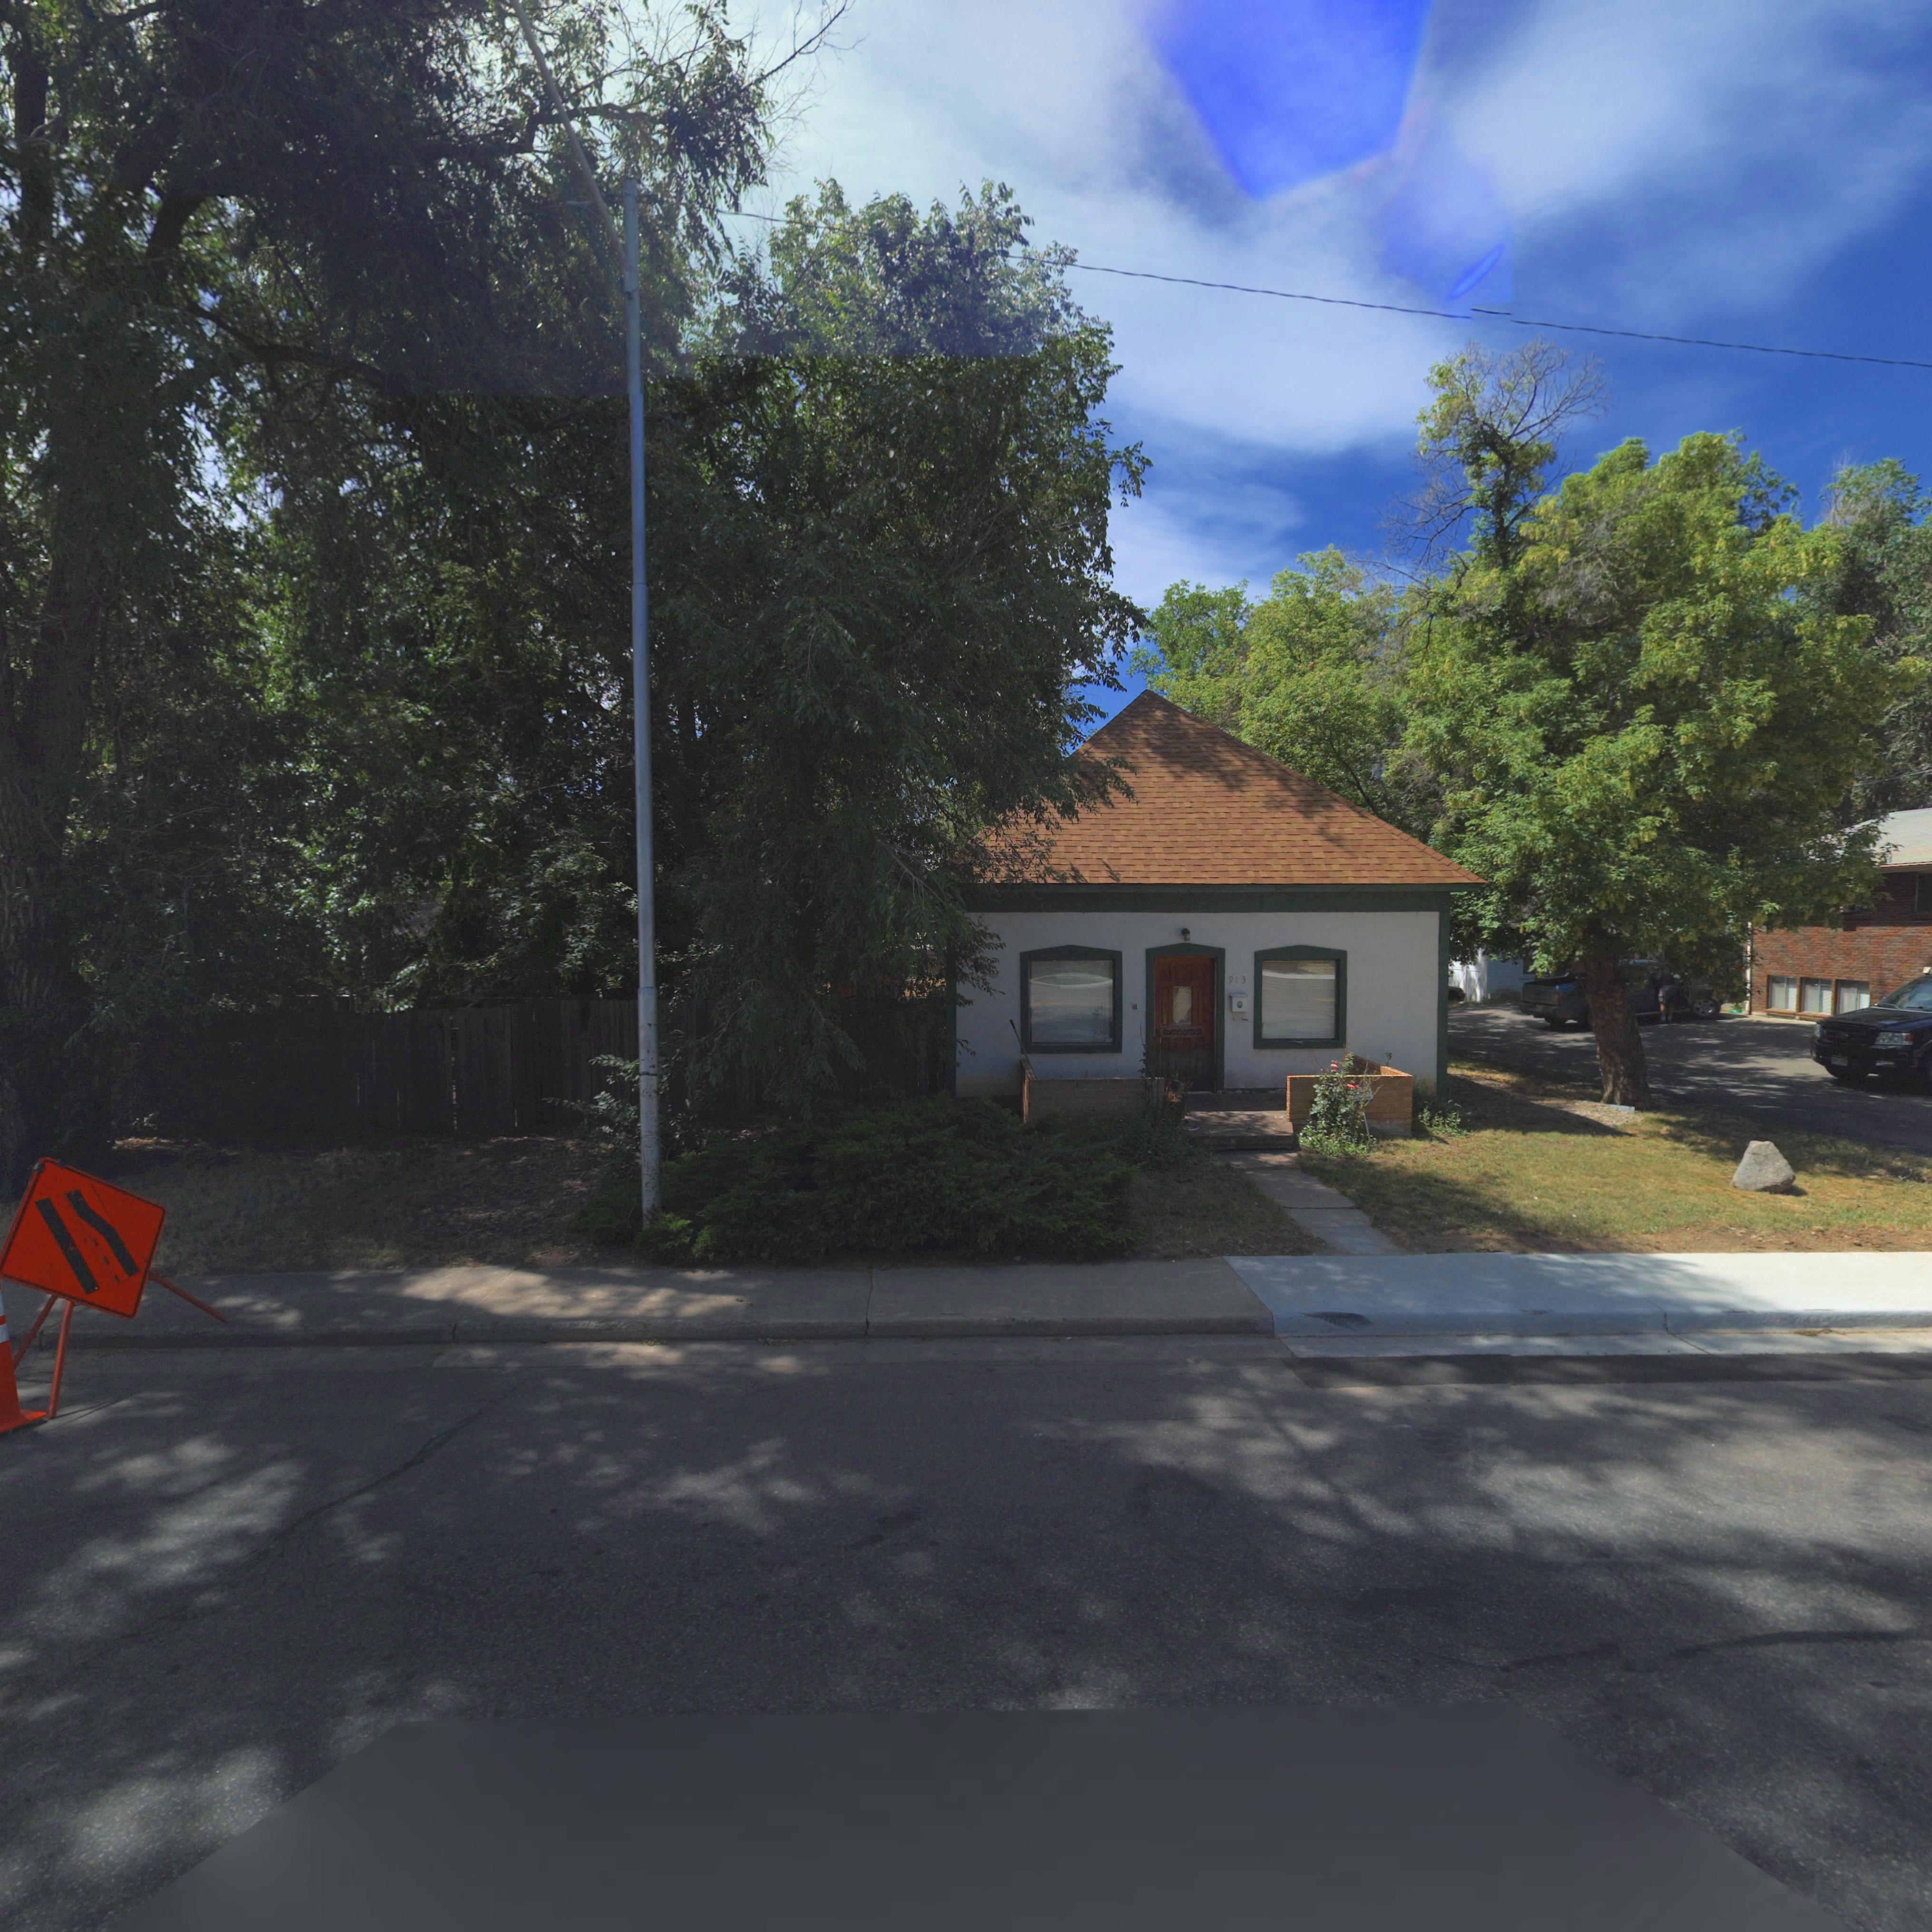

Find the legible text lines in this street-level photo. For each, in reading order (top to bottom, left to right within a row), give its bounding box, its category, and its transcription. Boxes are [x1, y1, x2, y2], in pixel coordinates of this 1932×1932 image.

[1227, 975, 1246, 984] StreetNumber: 913